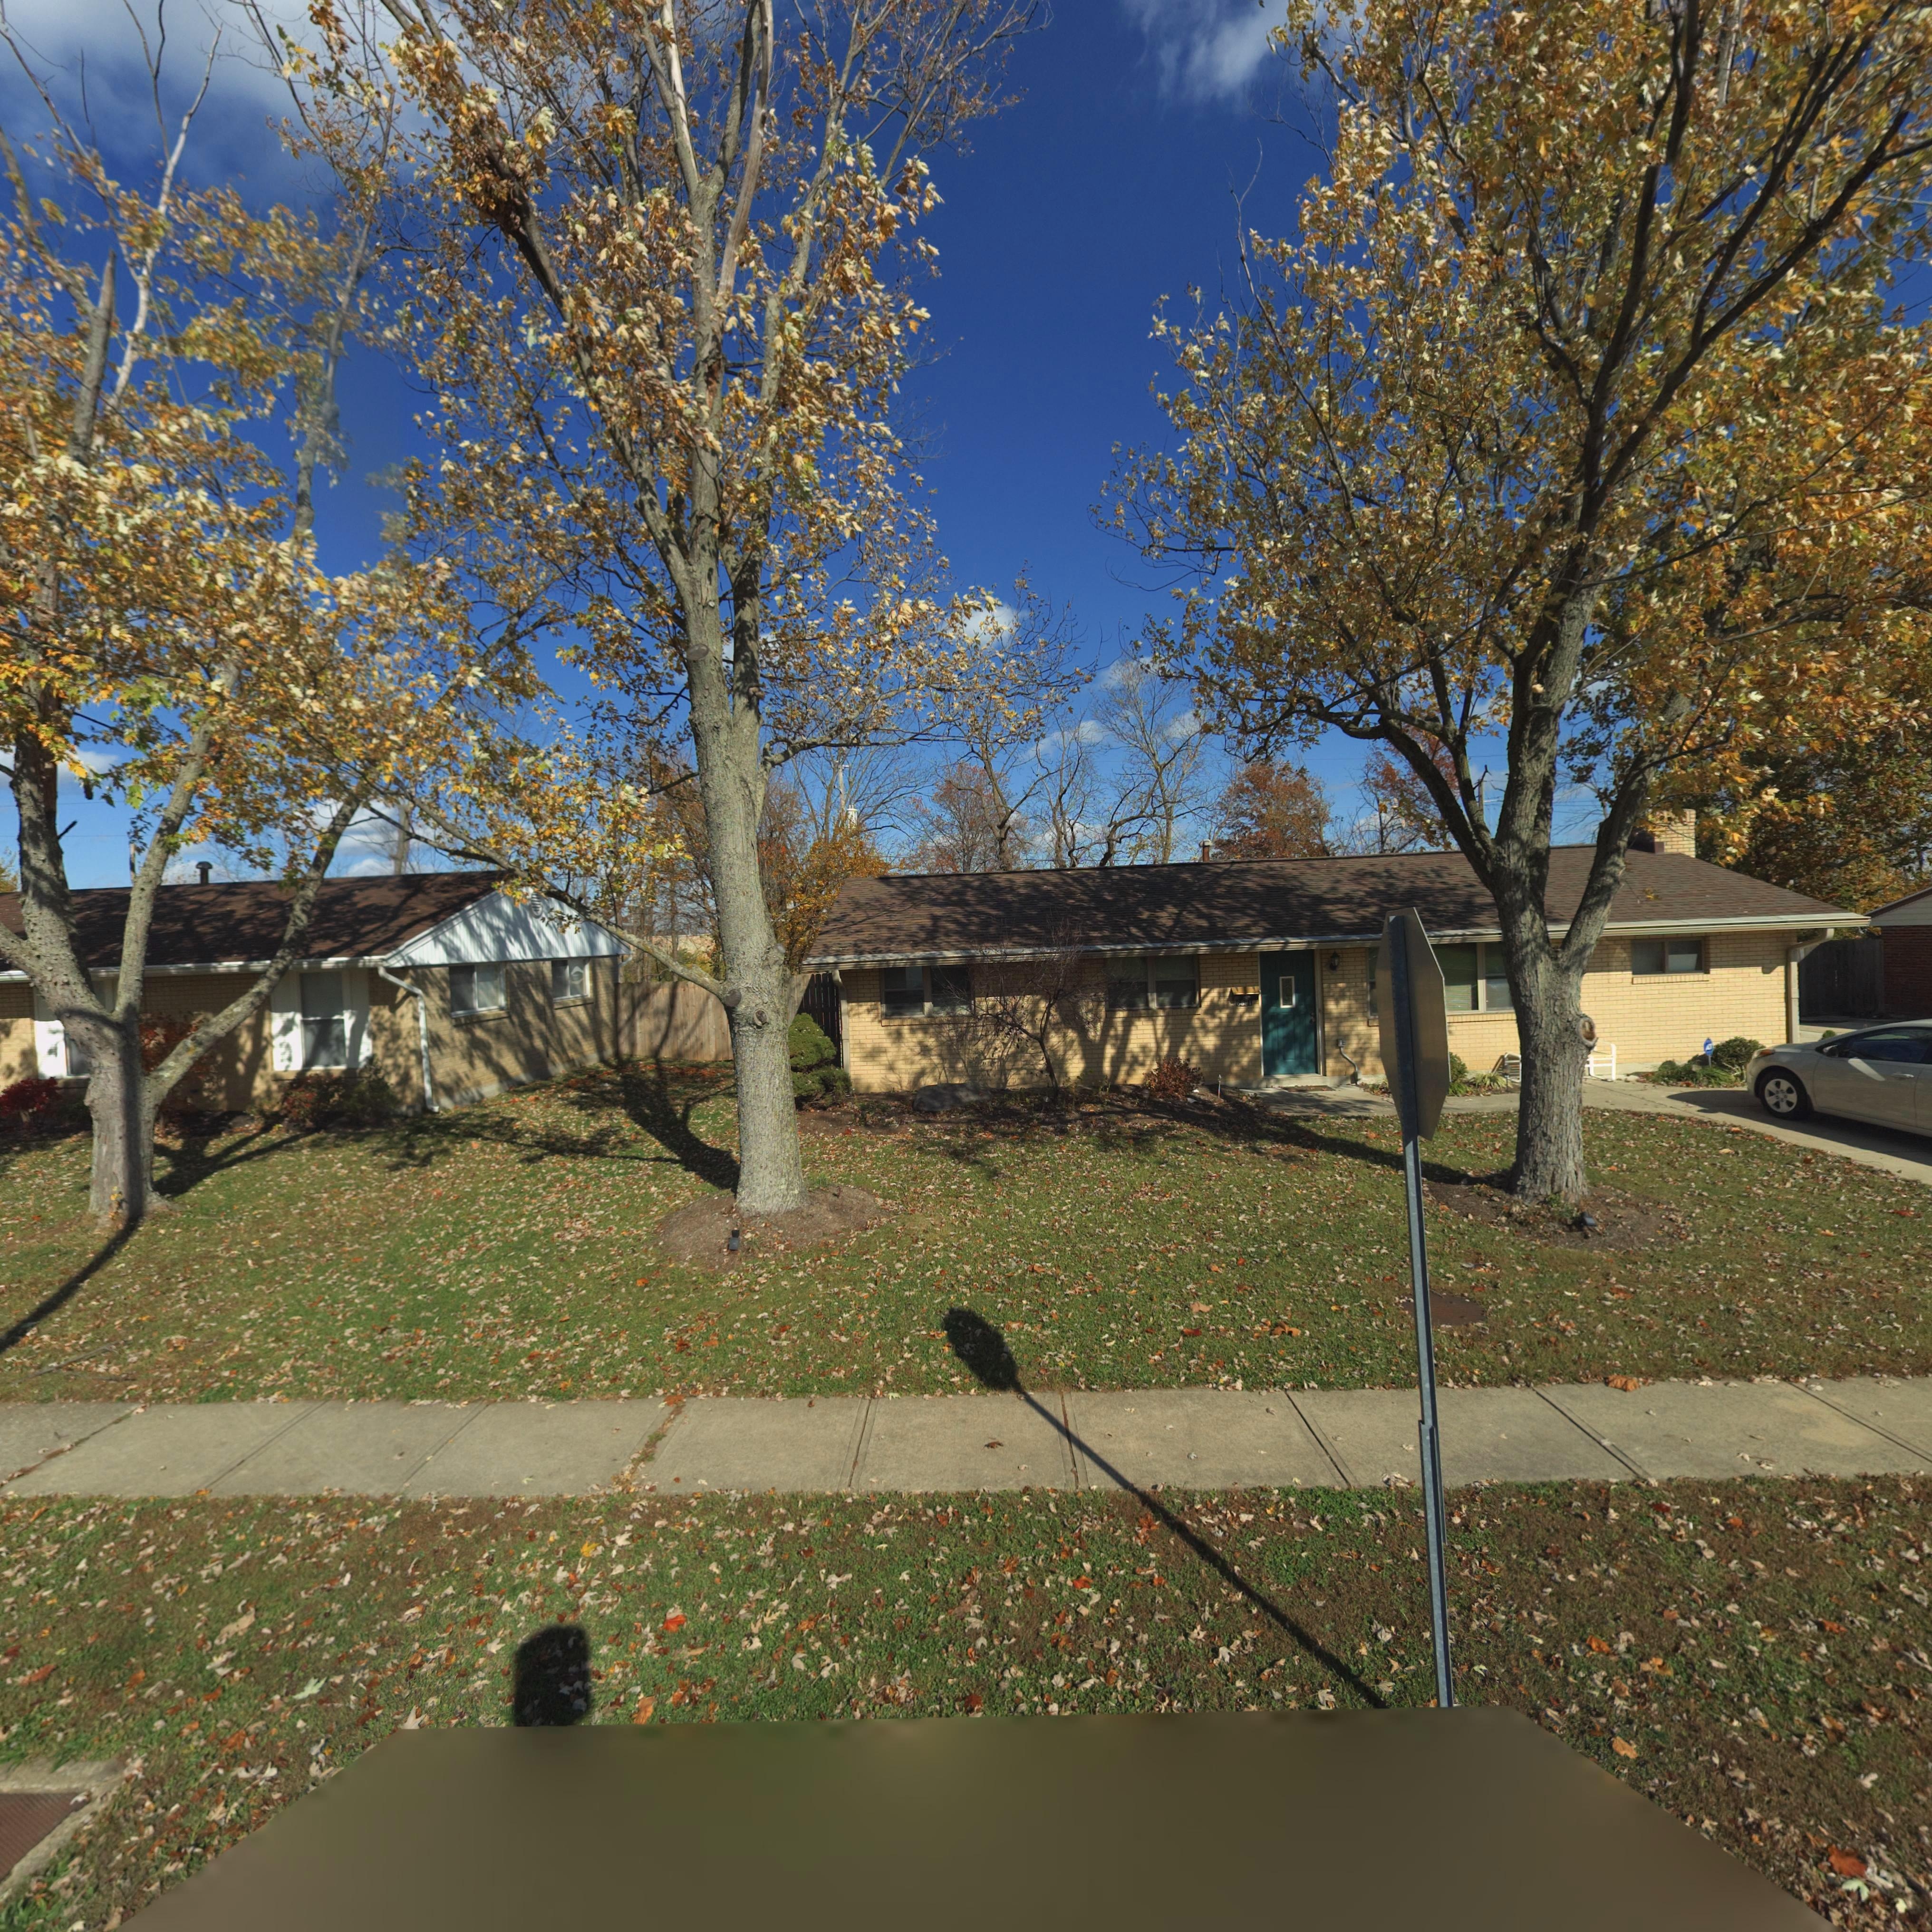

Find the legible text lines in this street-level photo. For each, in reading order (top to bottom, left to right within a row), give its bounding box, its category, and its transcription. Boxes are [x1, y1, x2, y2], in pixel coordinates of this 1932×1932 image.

[1235, 998, 1253, 1007] StreetNumber: 6891